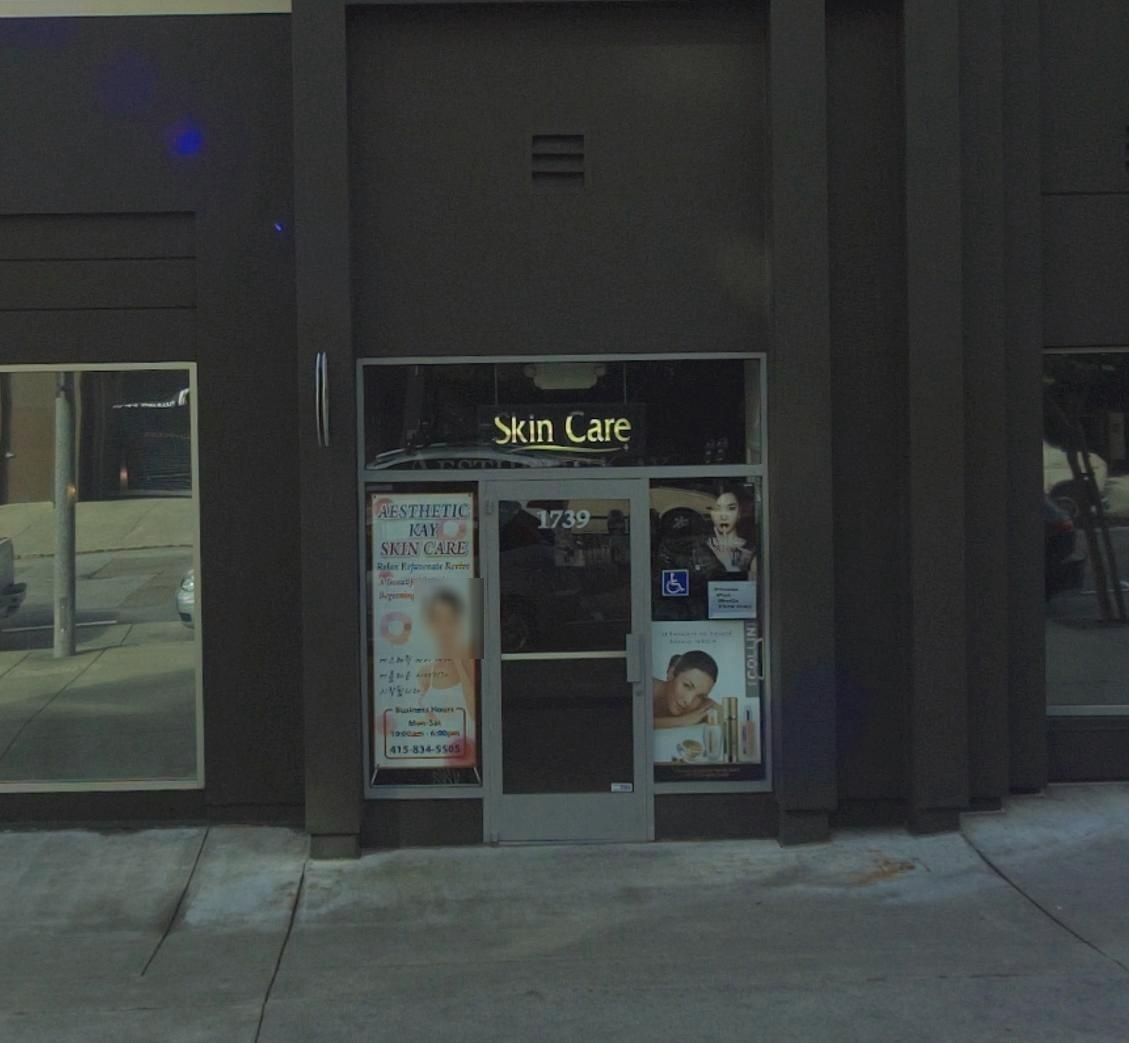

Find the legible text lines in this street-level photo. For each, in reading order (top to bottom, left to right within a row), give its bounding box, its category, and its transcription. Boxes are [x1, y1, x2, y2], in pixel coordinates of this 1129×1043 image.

[490, 406, 635, 447] None: Skin Care
[373, 500, 472, 521] BusinessName: AESTHETIC
[535, 508, 594, 531] StreetNumber: 1739
[406, 521, 442, 540] BusinessName: KAY
[378, 538, 469, 559] BusinessName: SKIN CARE
[744, 626, 758, 638] None: N
[387, 728, 410, 740] None: 10:0
[387, 741, 464, 757] None: 415.834.5505